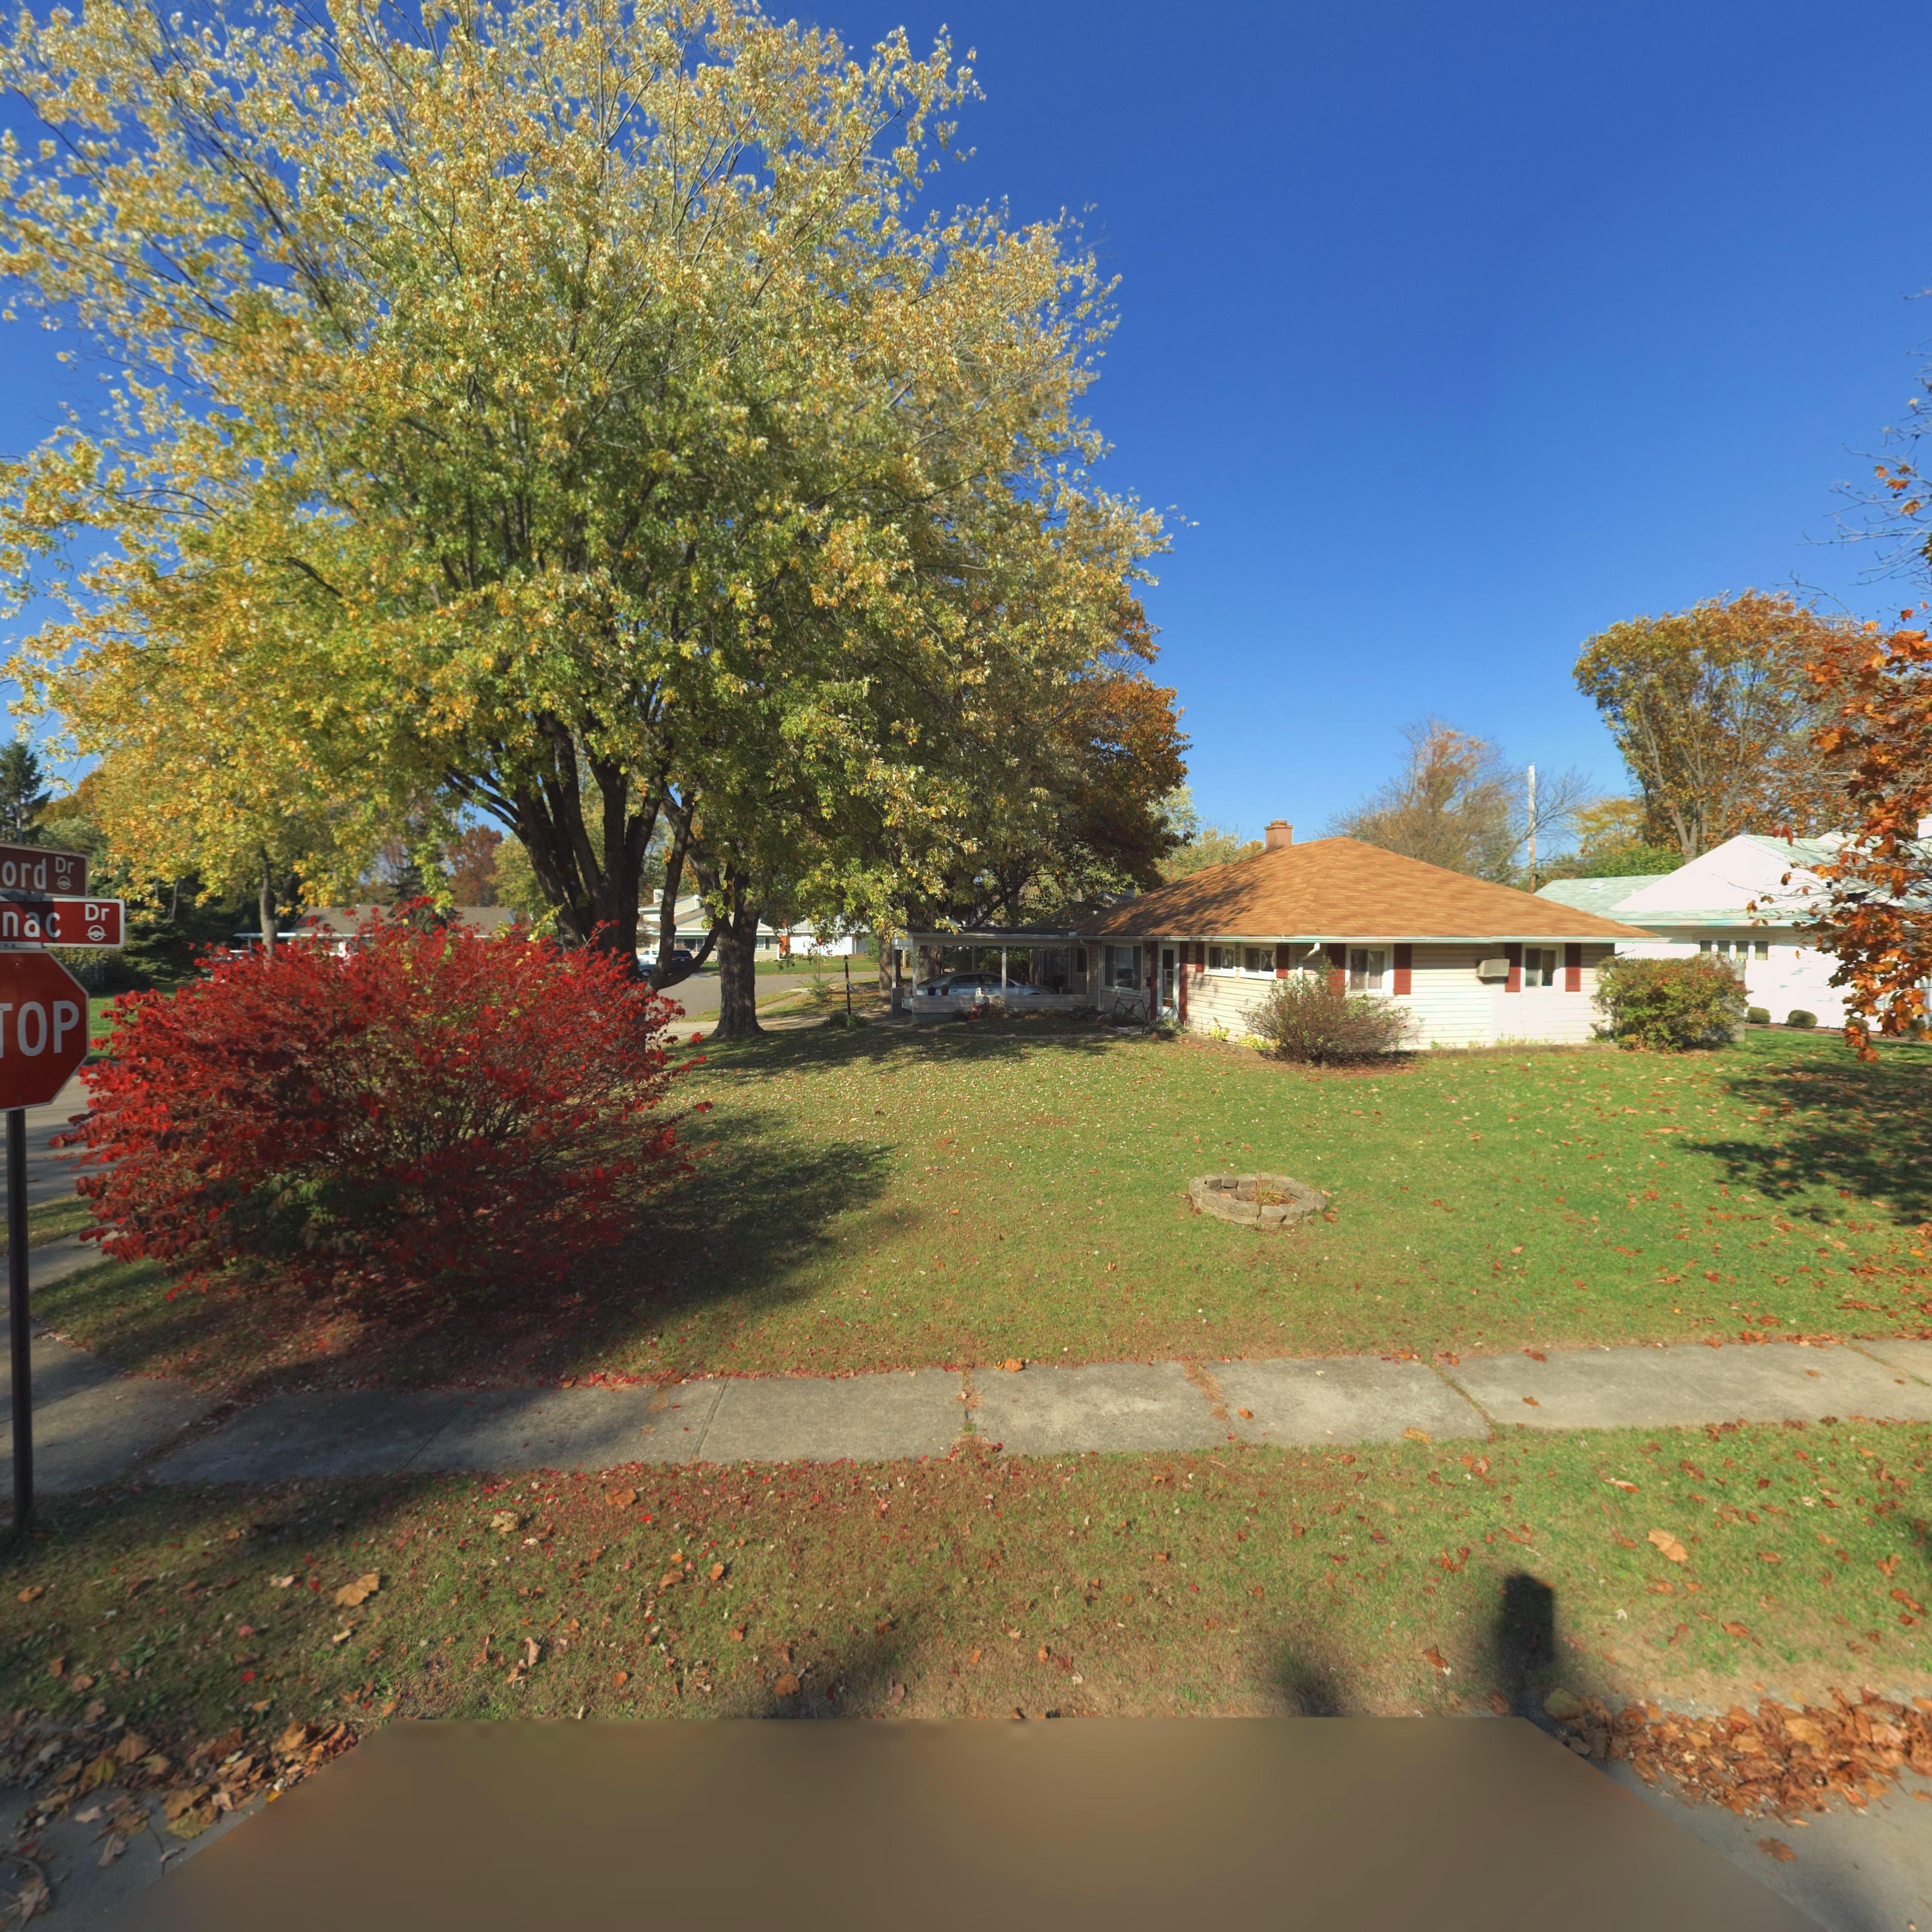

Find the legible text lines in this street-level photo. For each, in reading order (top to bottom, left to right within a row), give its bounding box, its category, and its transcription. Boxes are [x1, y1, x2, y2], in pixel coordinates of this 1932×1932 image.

[0, 854, 77, 892] StreetName: ord Dr
[0, 902, 112, 941] StreetName: nac Dr
[14, 996, 83, 1060] None: OP